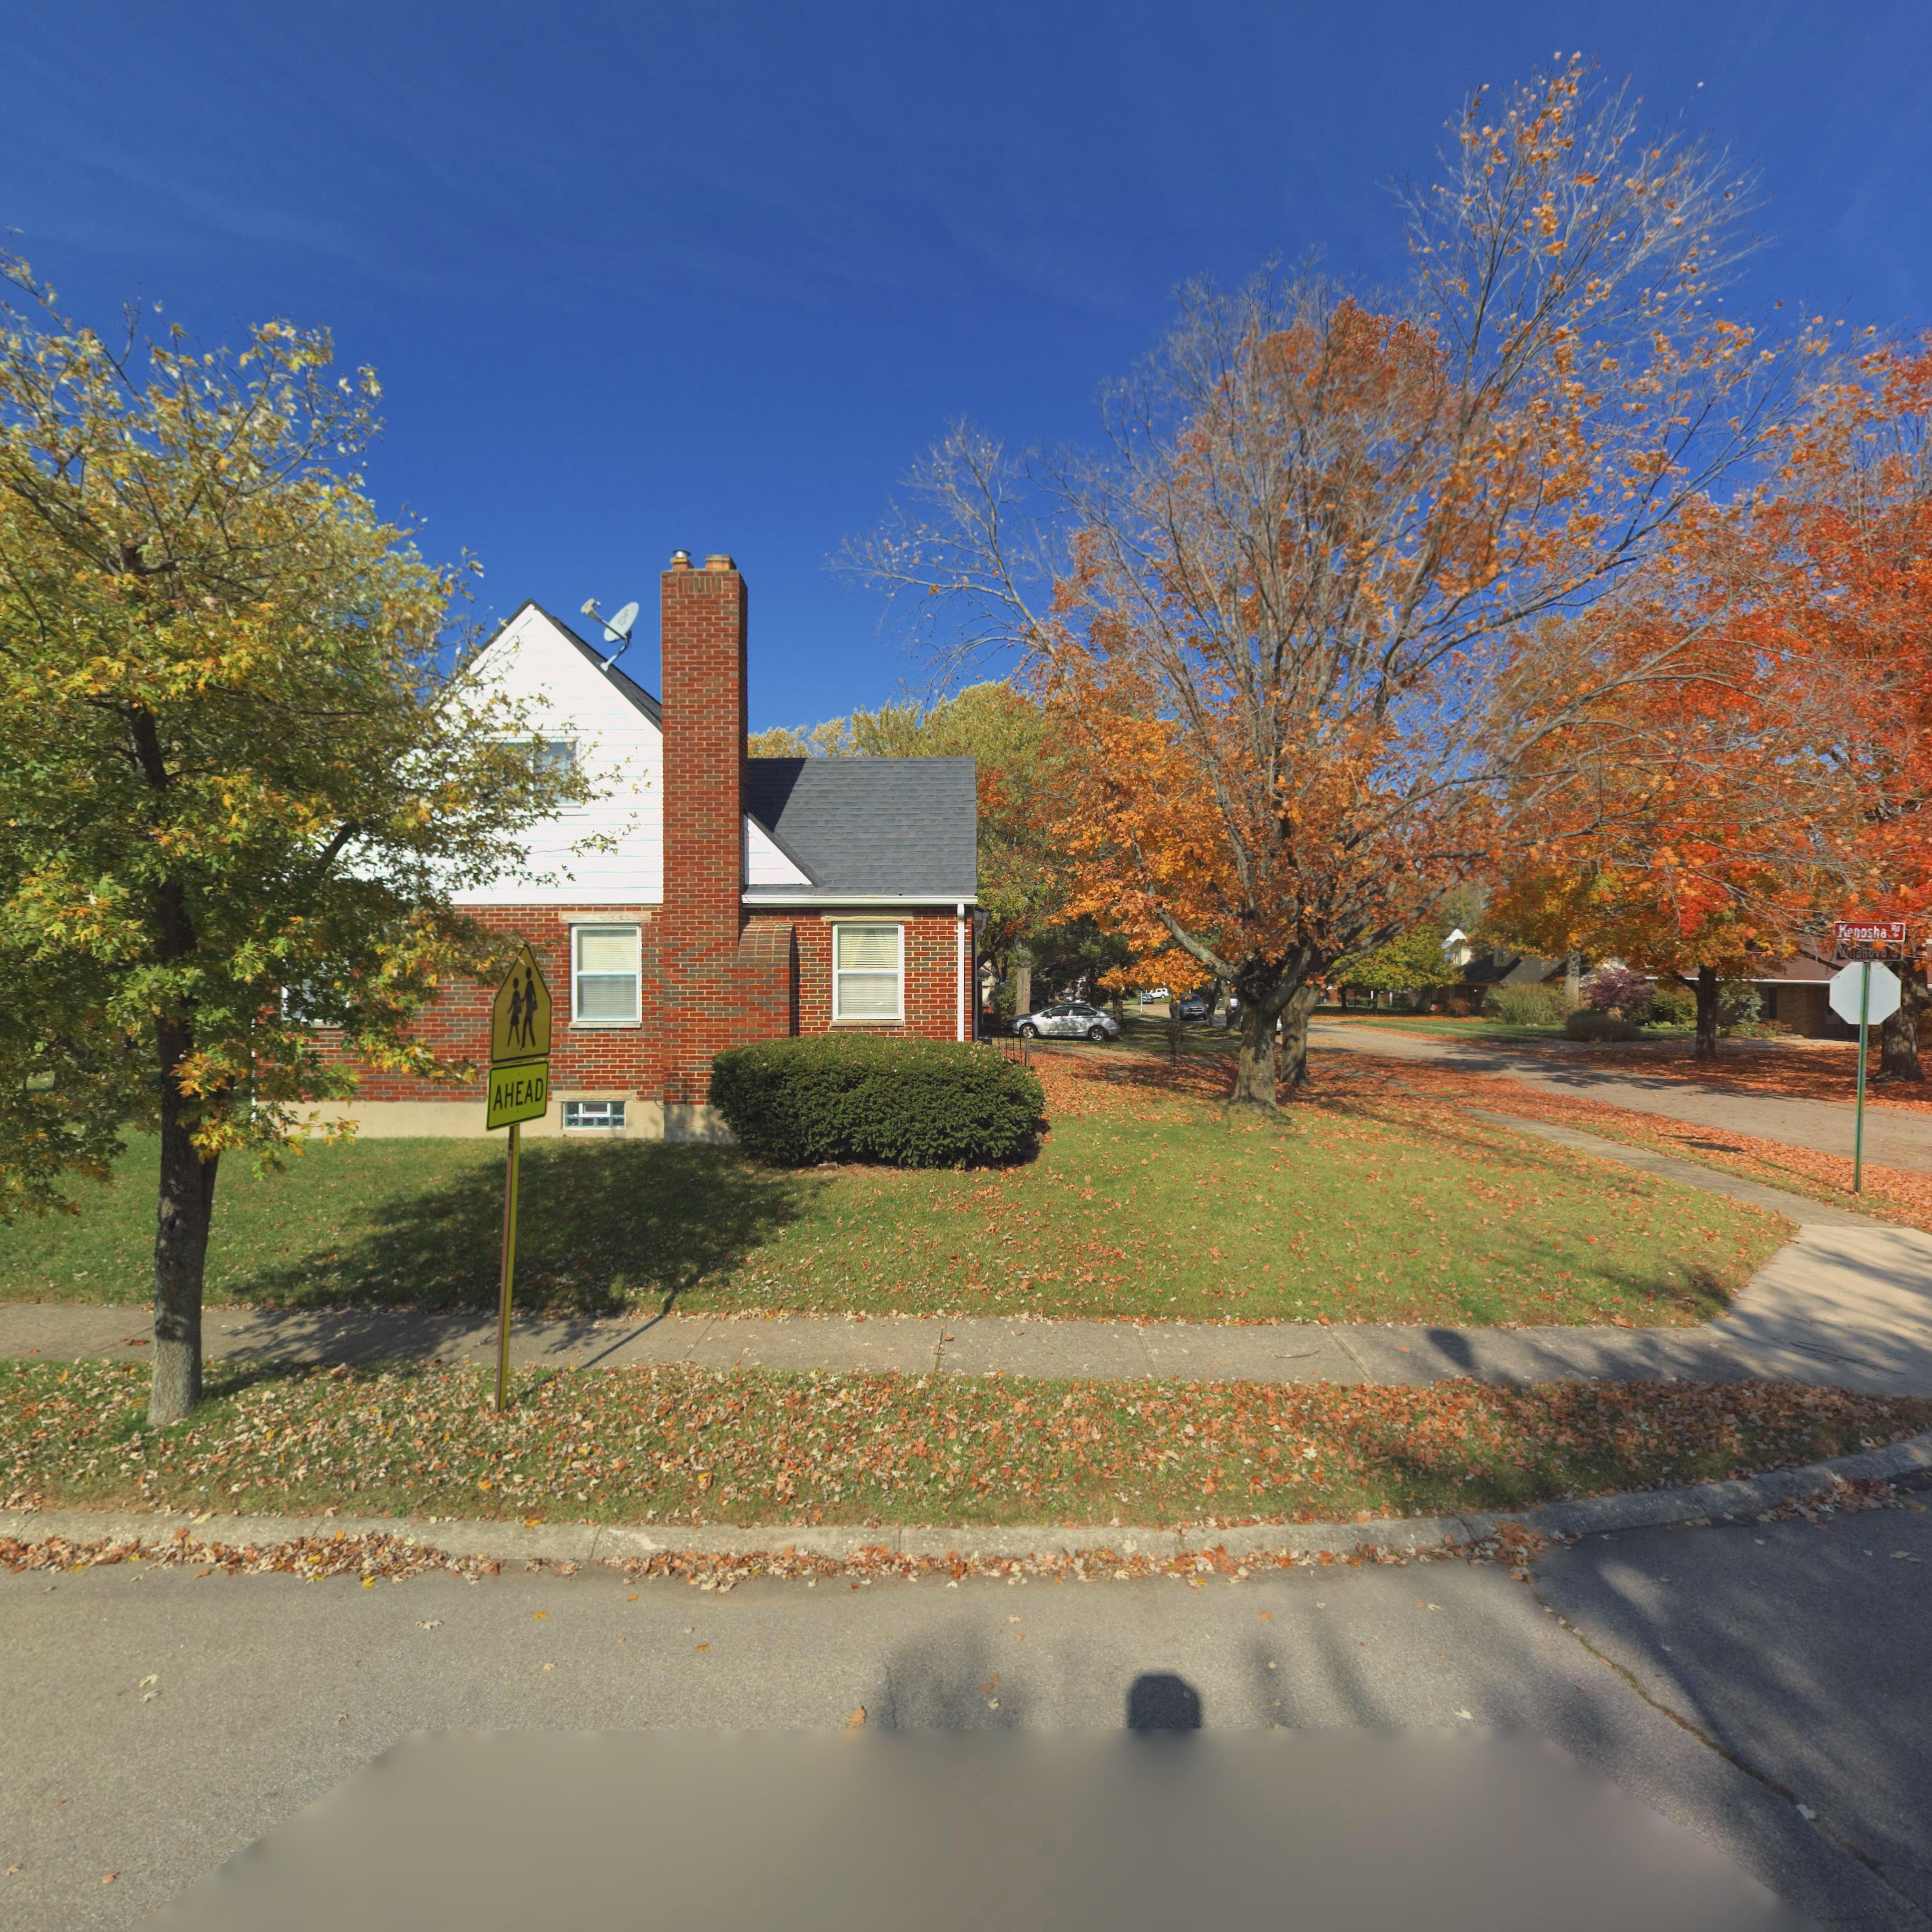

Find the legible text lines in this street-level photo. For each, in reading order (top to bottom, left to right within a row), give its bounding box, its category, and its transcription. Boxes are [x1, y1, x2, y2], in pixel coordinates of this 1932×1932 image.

[491, 1075, 546, 1114] None: AHEAD